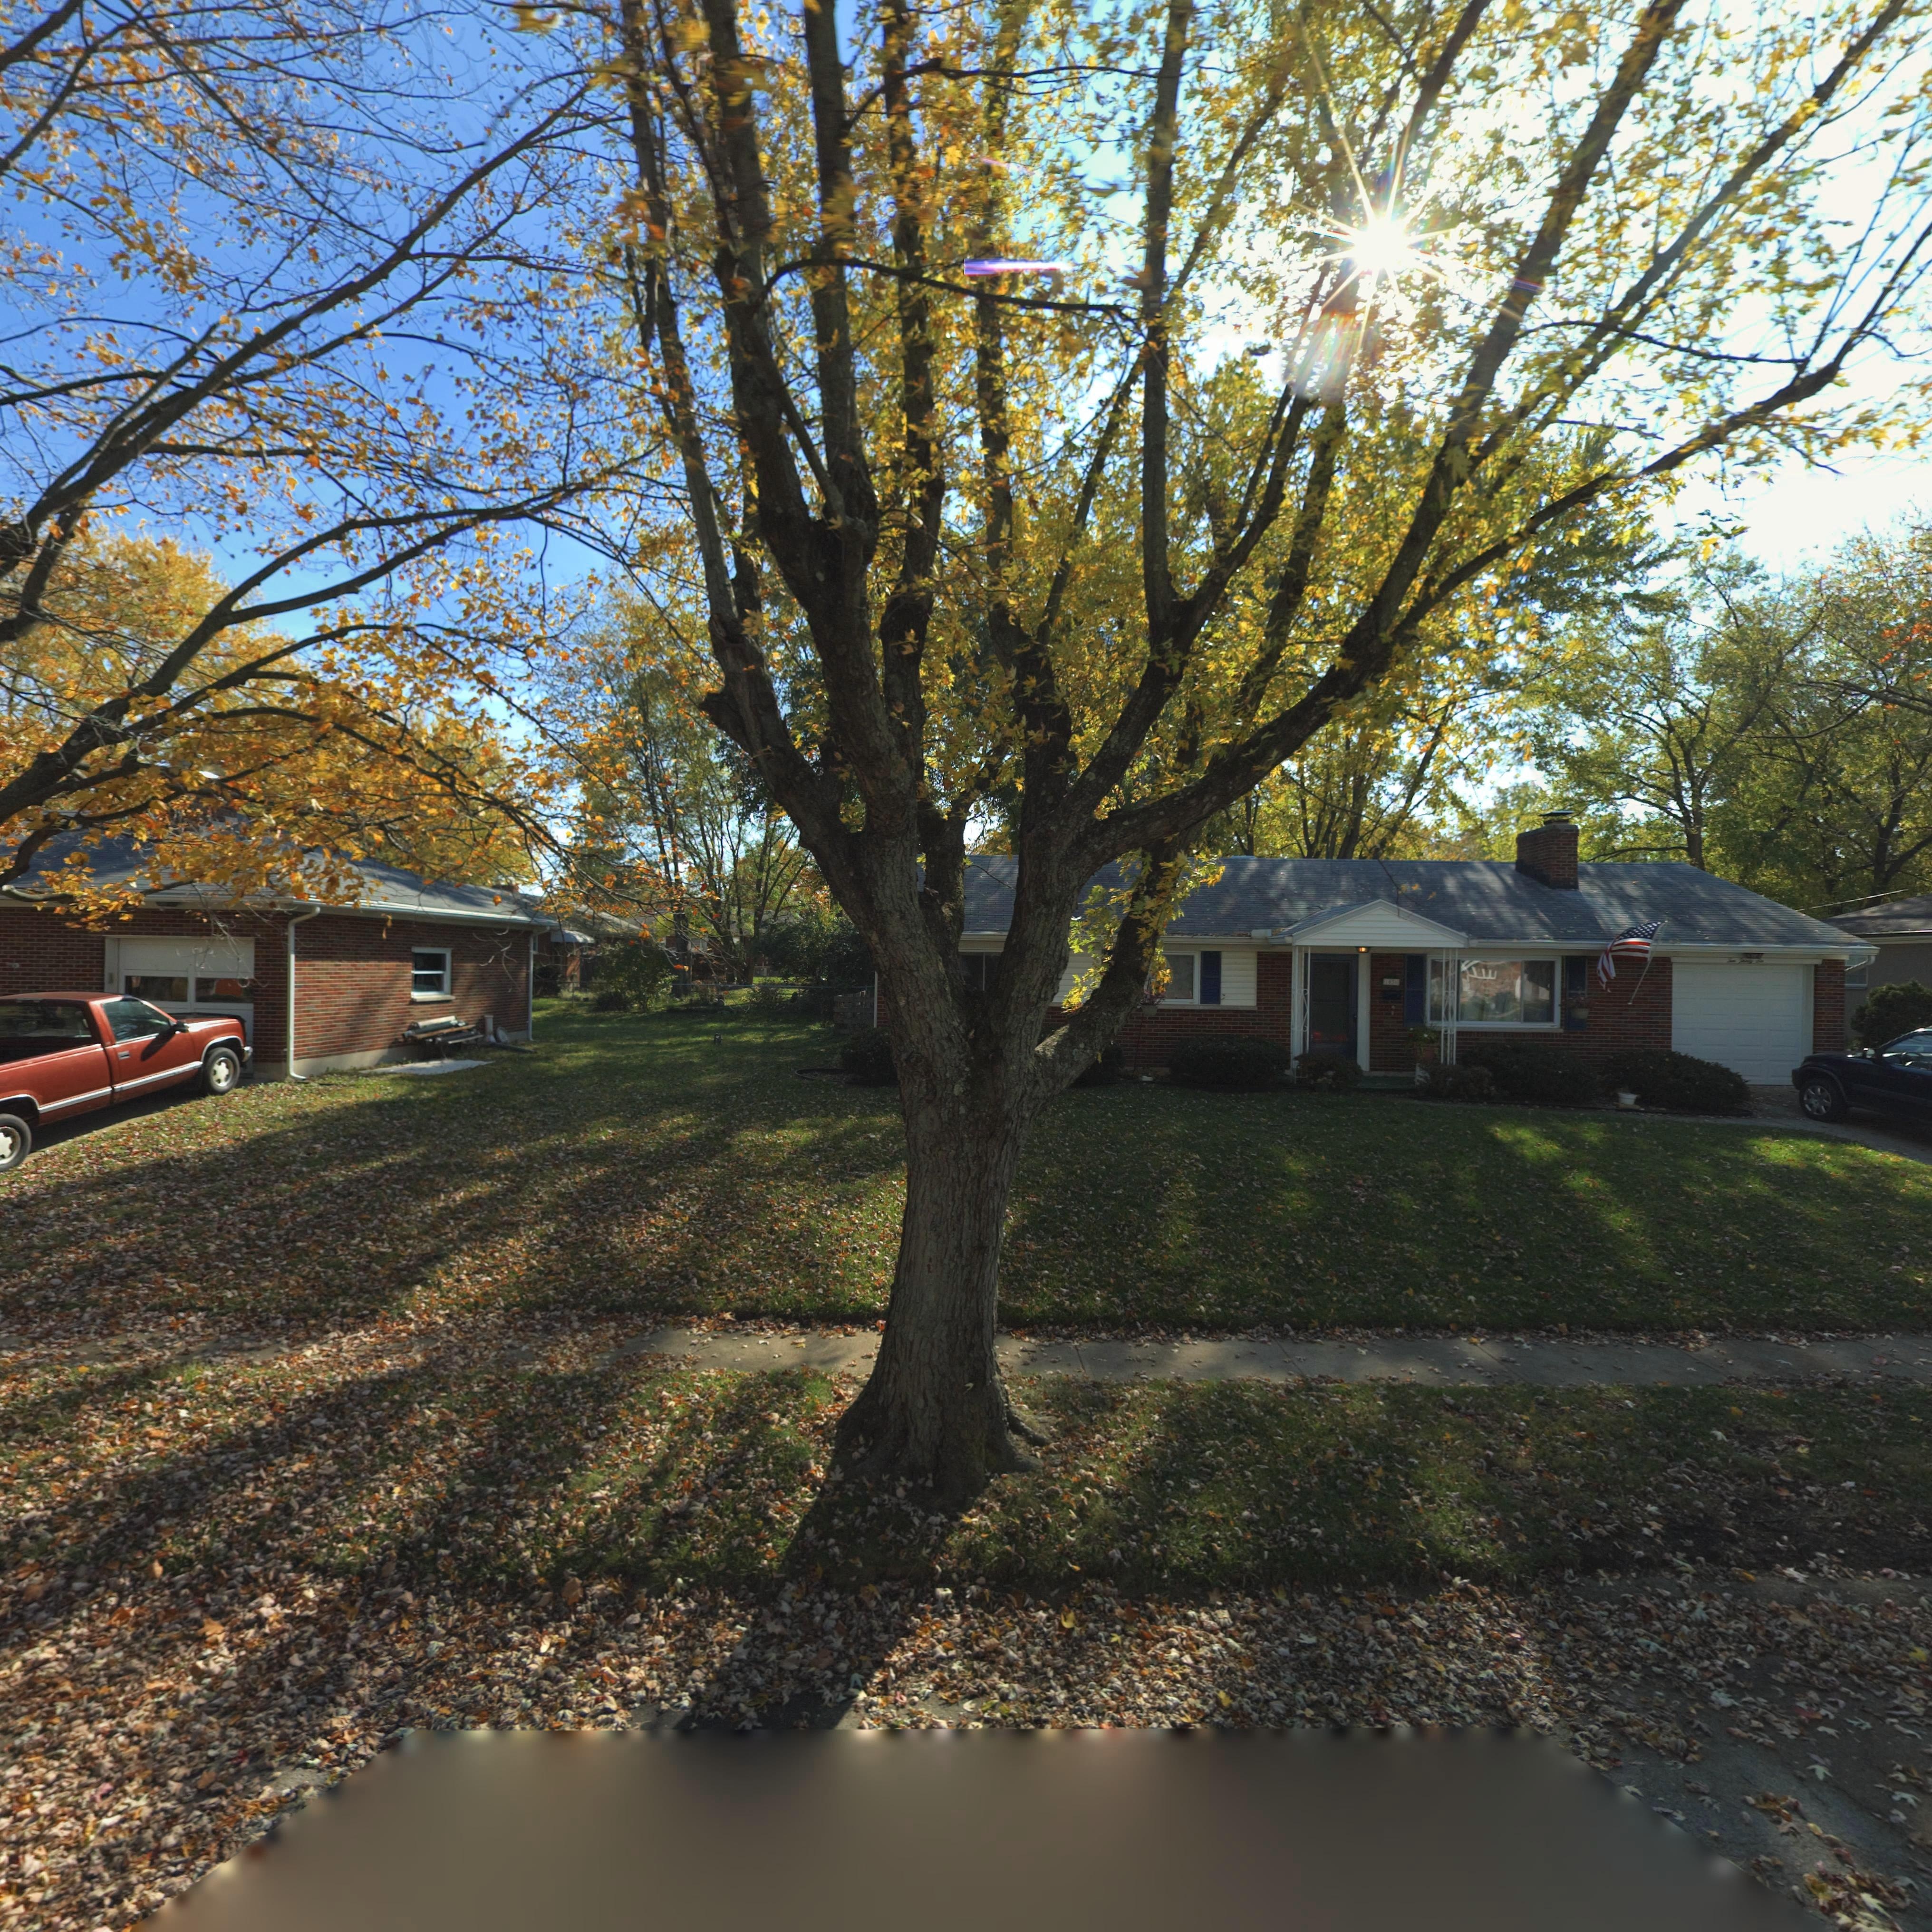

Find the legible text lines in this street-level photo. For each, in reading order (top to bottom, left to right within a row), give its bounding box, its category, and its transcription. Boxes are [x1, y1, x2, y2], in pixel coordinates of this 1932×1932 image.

[1384, 979, 1400, 985] StreetNumber: 10**